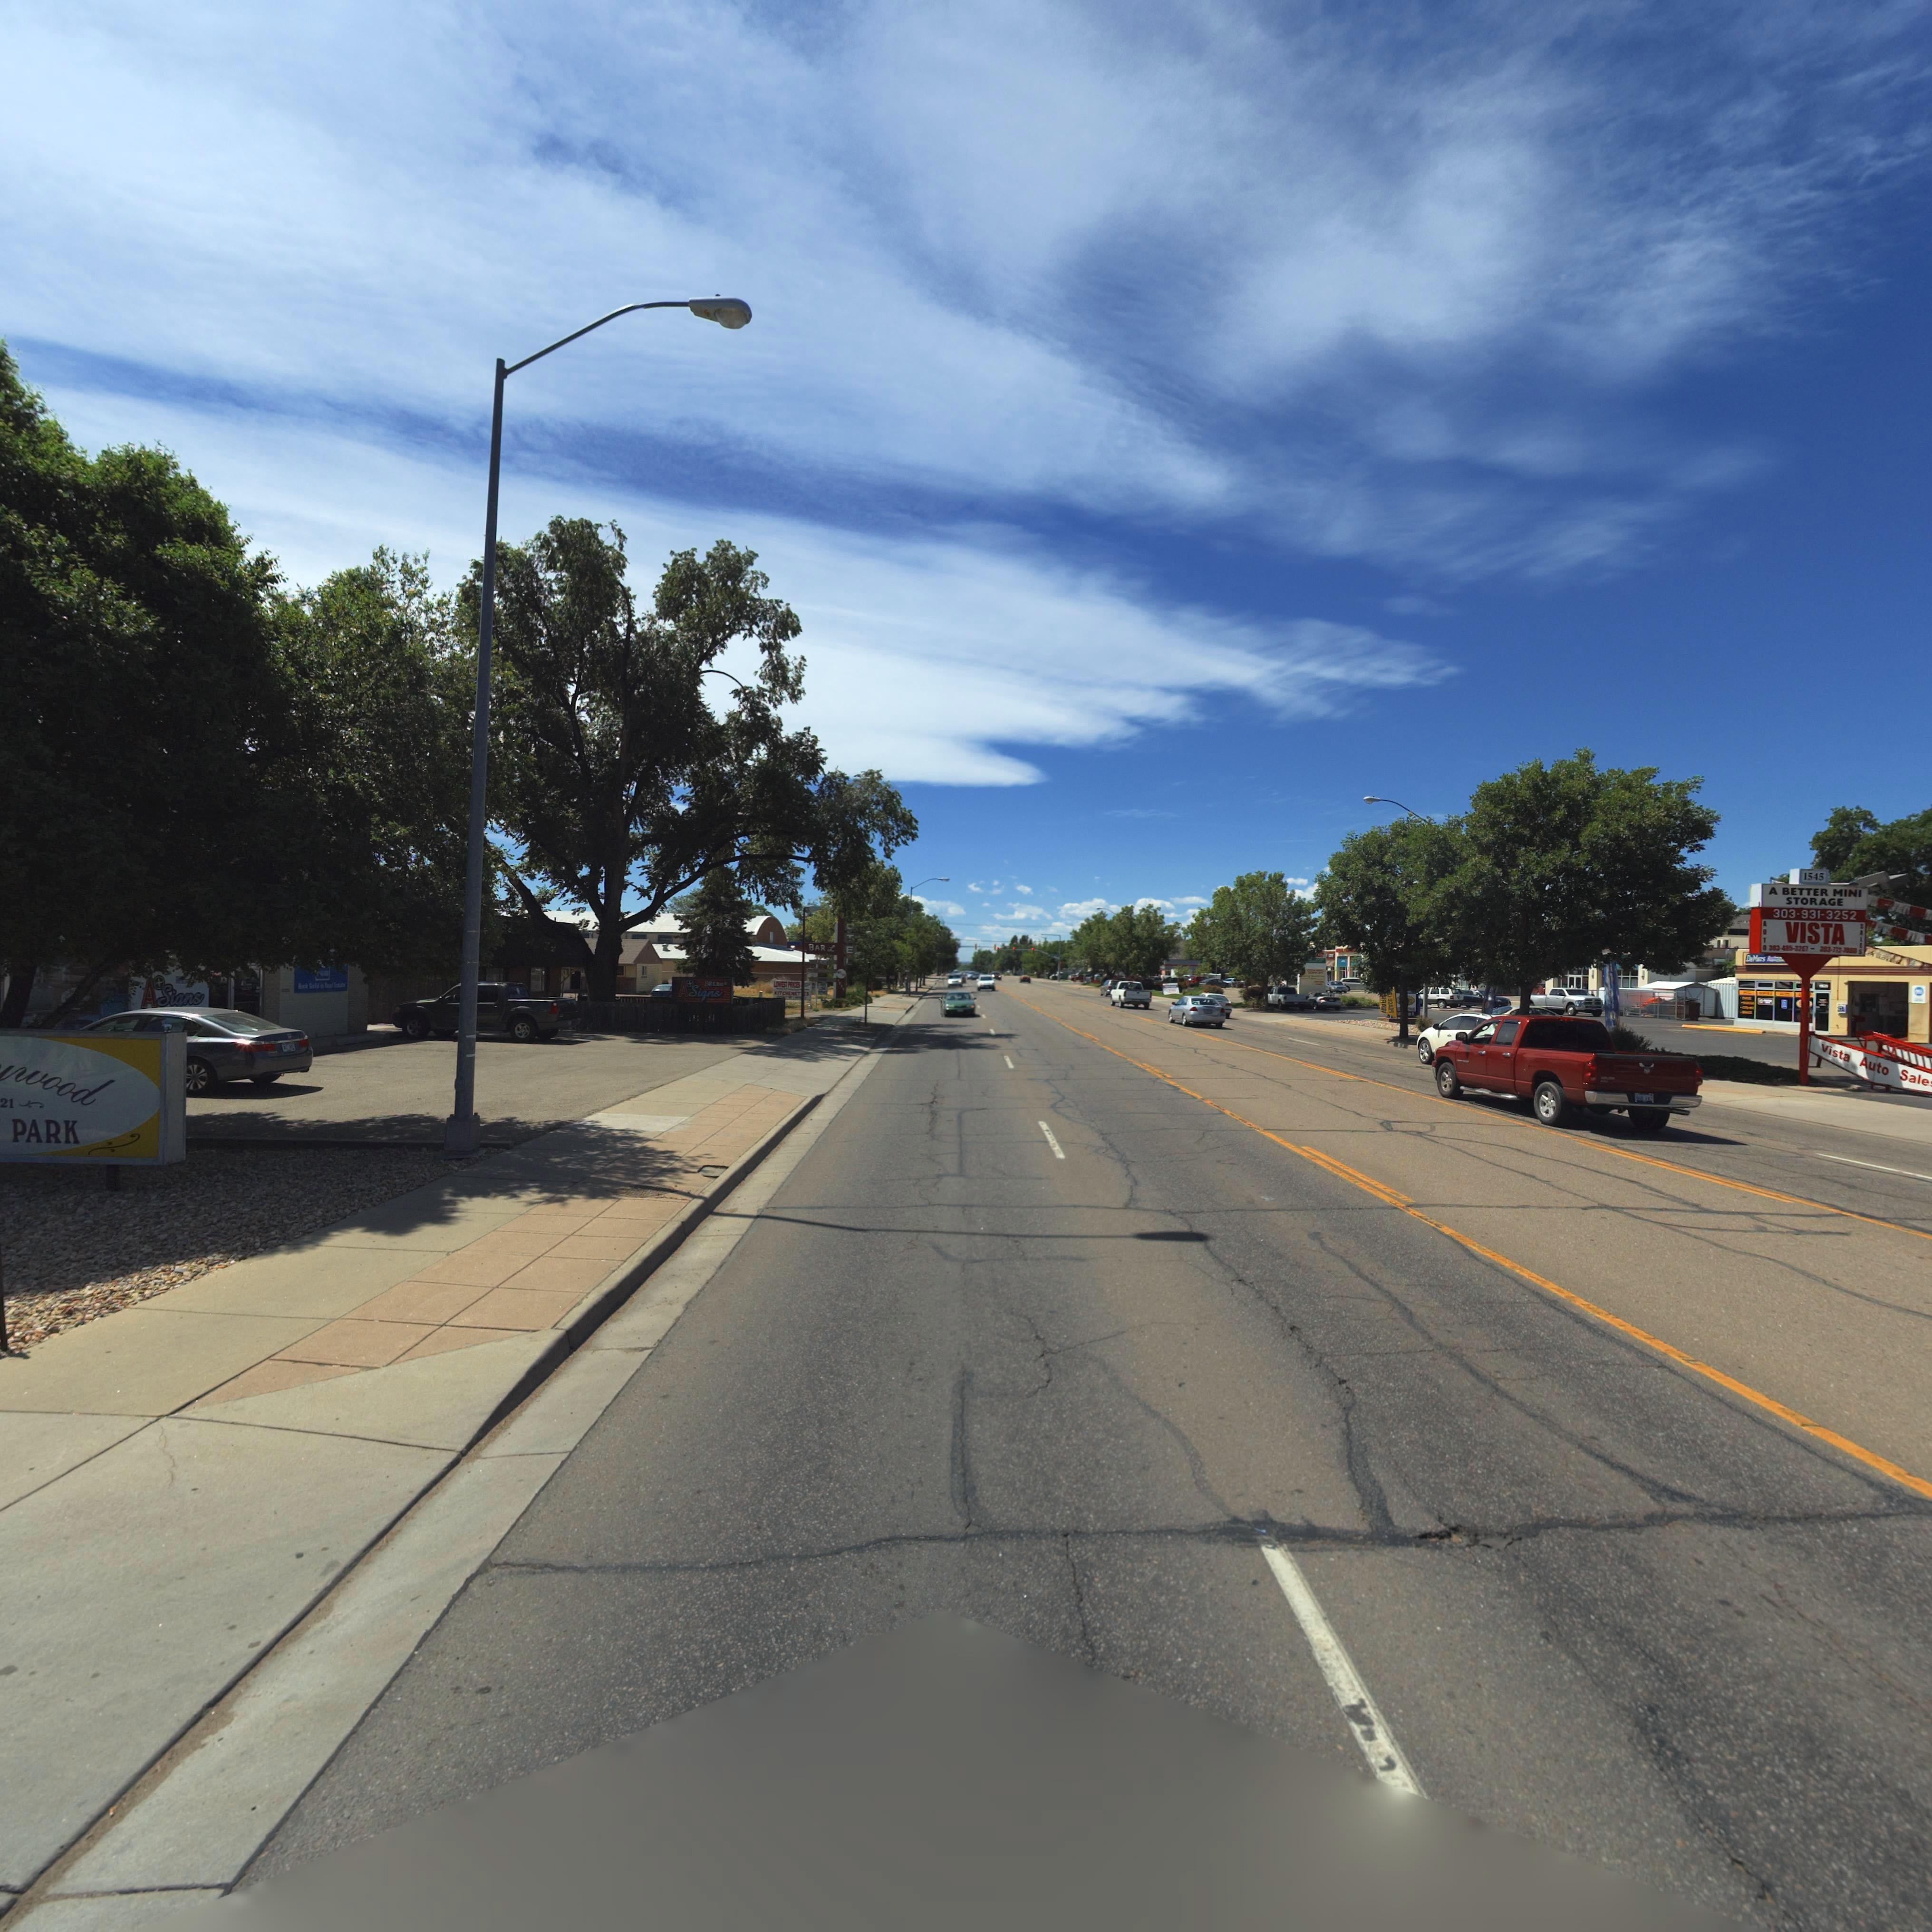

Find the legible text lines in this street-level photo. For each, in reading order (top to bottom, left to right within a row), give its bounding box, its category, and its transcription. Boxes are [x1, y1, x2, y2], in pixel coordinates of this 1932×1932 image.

[1804, 872, 1824, 880] StreetNumber: 1545
[1786, 897, 1843, 907] BusinessName: STORAGE
[1768, 887, 1862, 898] BusinessName: A BETTER MINI
[809, 944, 835, 952] BusinessName: BAR L
[1745, 954, 1783, 962] BusinessName: DeM**s *****
[1762, 920, 1767, 951] BusinessName: AUTO
[1785, 921, 1845, 945] BusinessName: VISTA
[1858, 923, 1864, 954] BusinessName: **L*S
[140, 975, 205, 1009] BusinessName: ASi*ns
[677, 979, 723, 1001] BusinessName: ASigns
[1821, 1043, 1930, 1087] BusinessName: Vista Auto Sale
[10, 1066, 118, 1106] BusinessName: wood
[0, 1098, 14, 1108] StreetNumber: 21
[11, 1119, 81, 1144] BusinessName: PARK